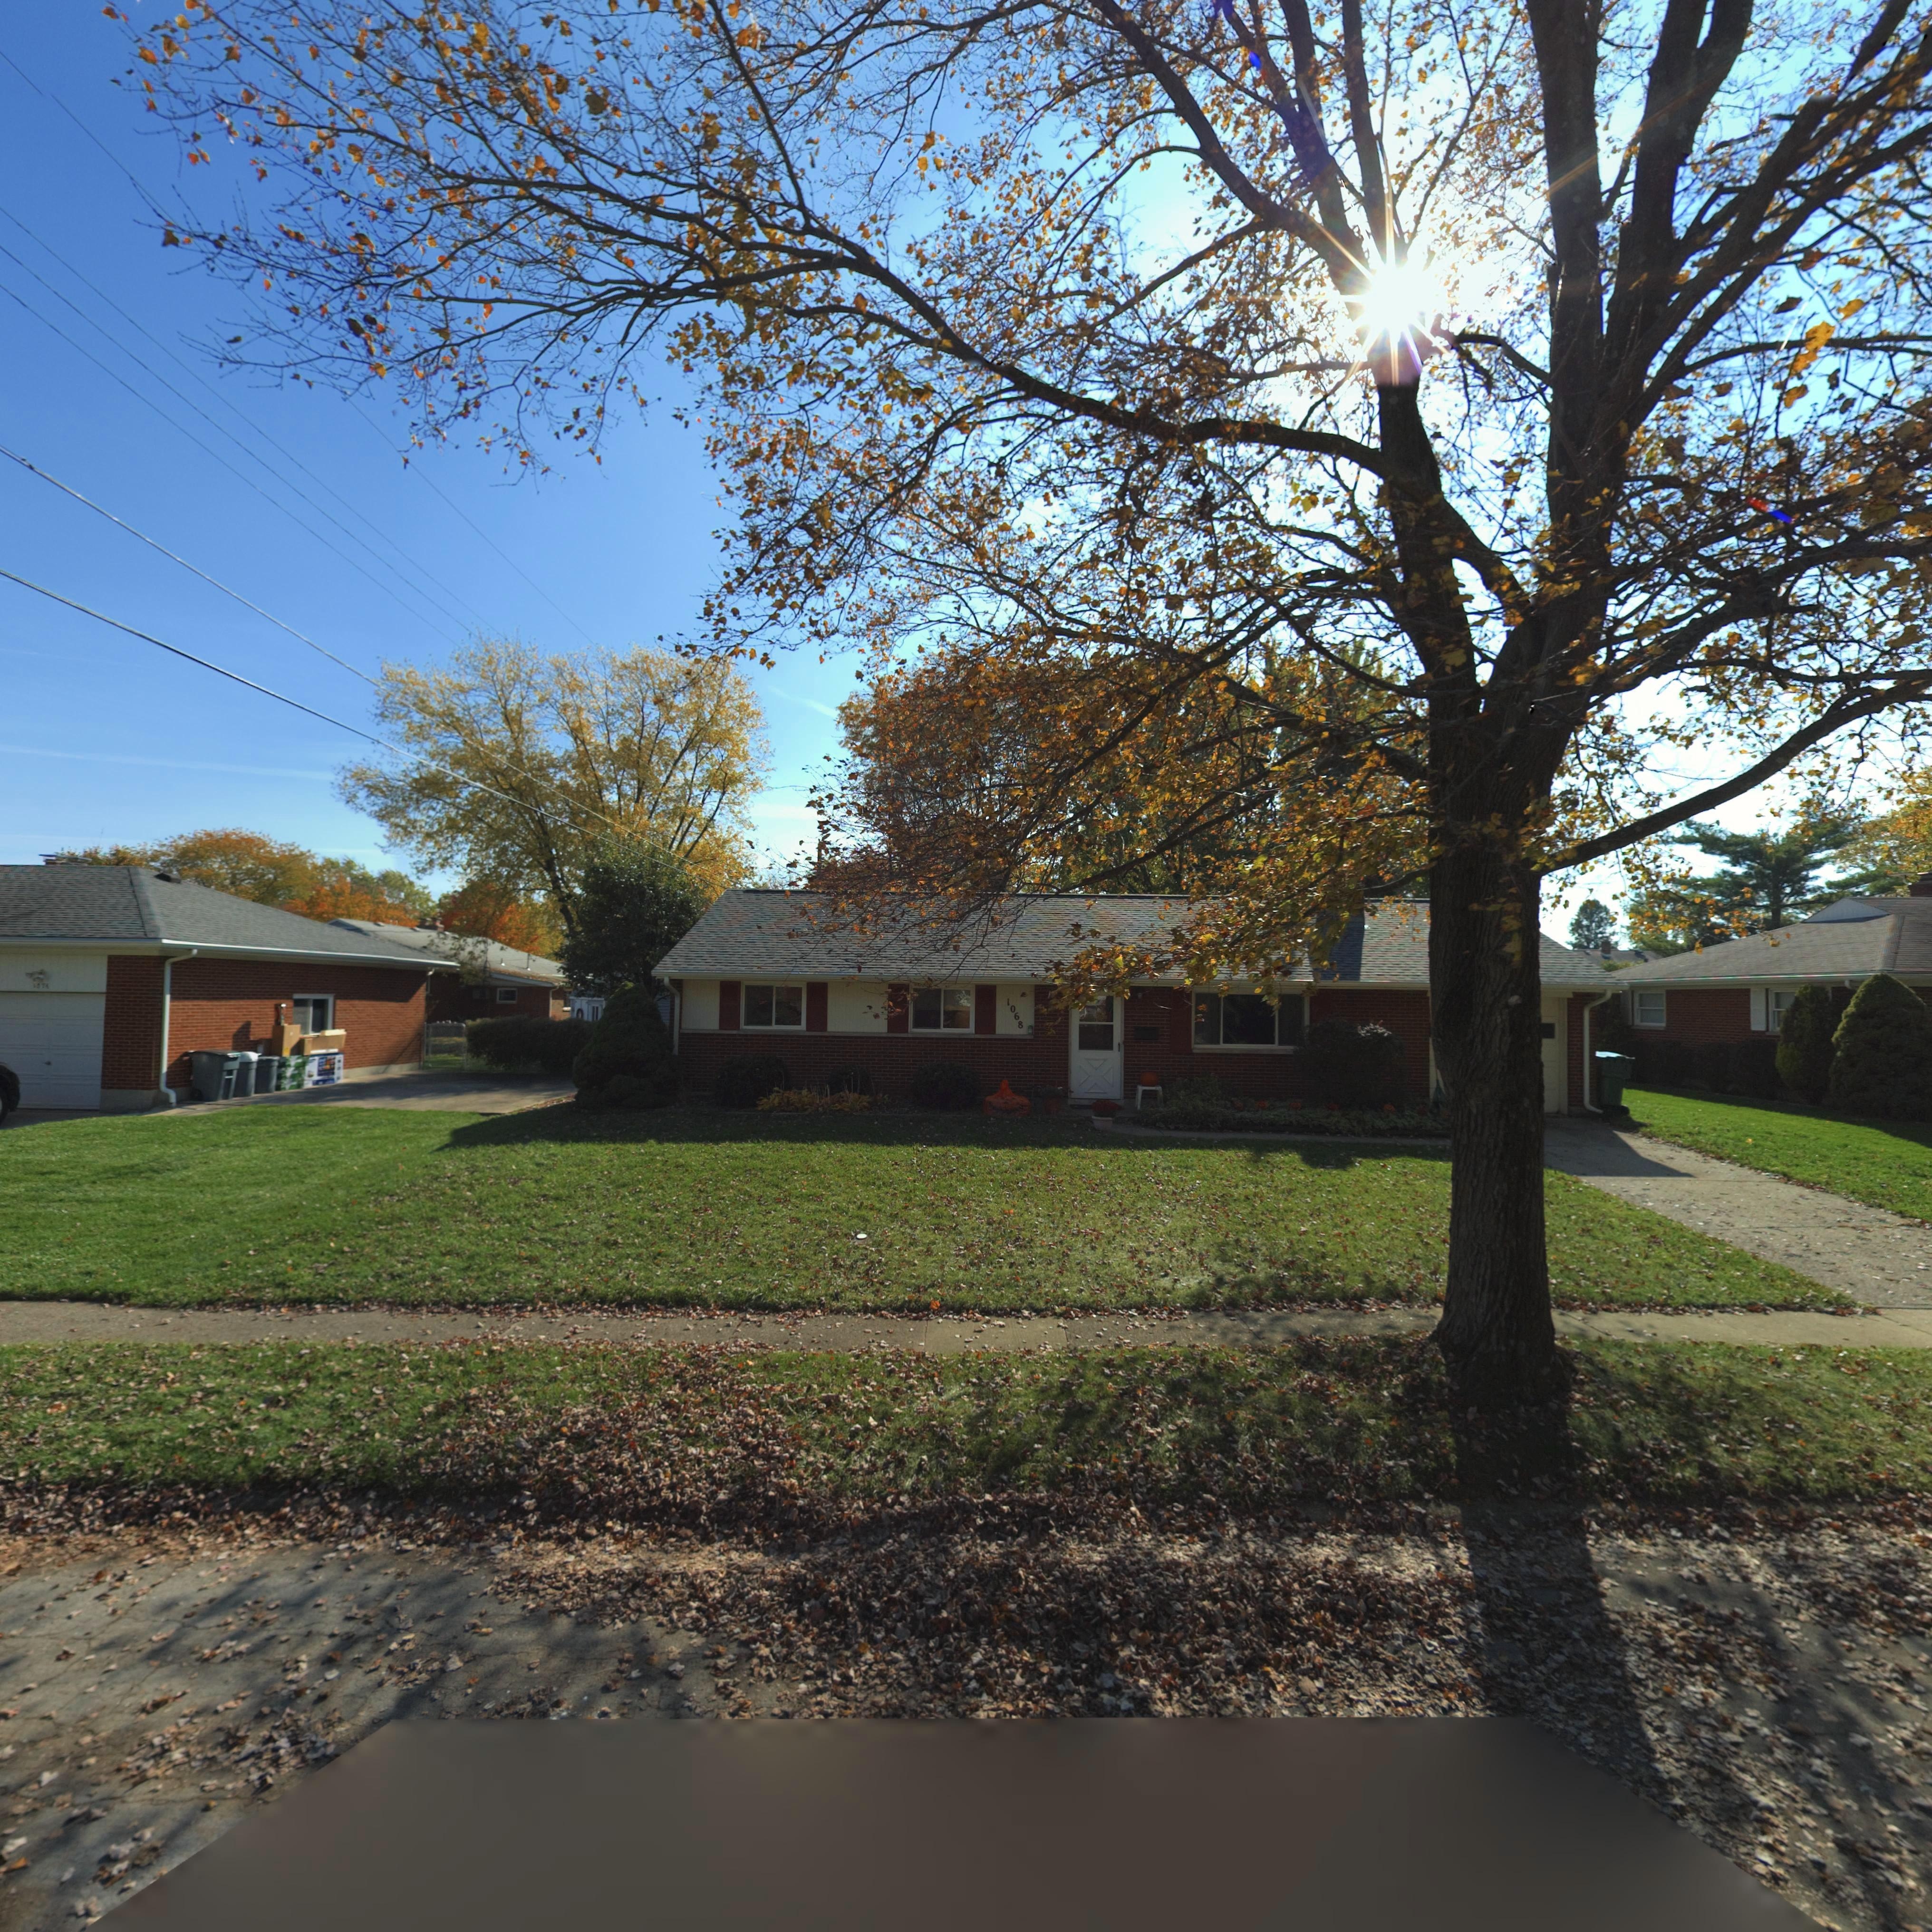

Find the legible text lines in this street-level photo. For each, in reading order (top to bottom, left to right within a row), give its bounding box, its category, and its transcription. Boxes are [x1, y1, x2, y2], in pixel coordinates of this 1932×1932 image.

[33, 982, 49, 990] StreetNumber: 1076
[1007, 997, 1023, 1029] StreetNumber: 1068